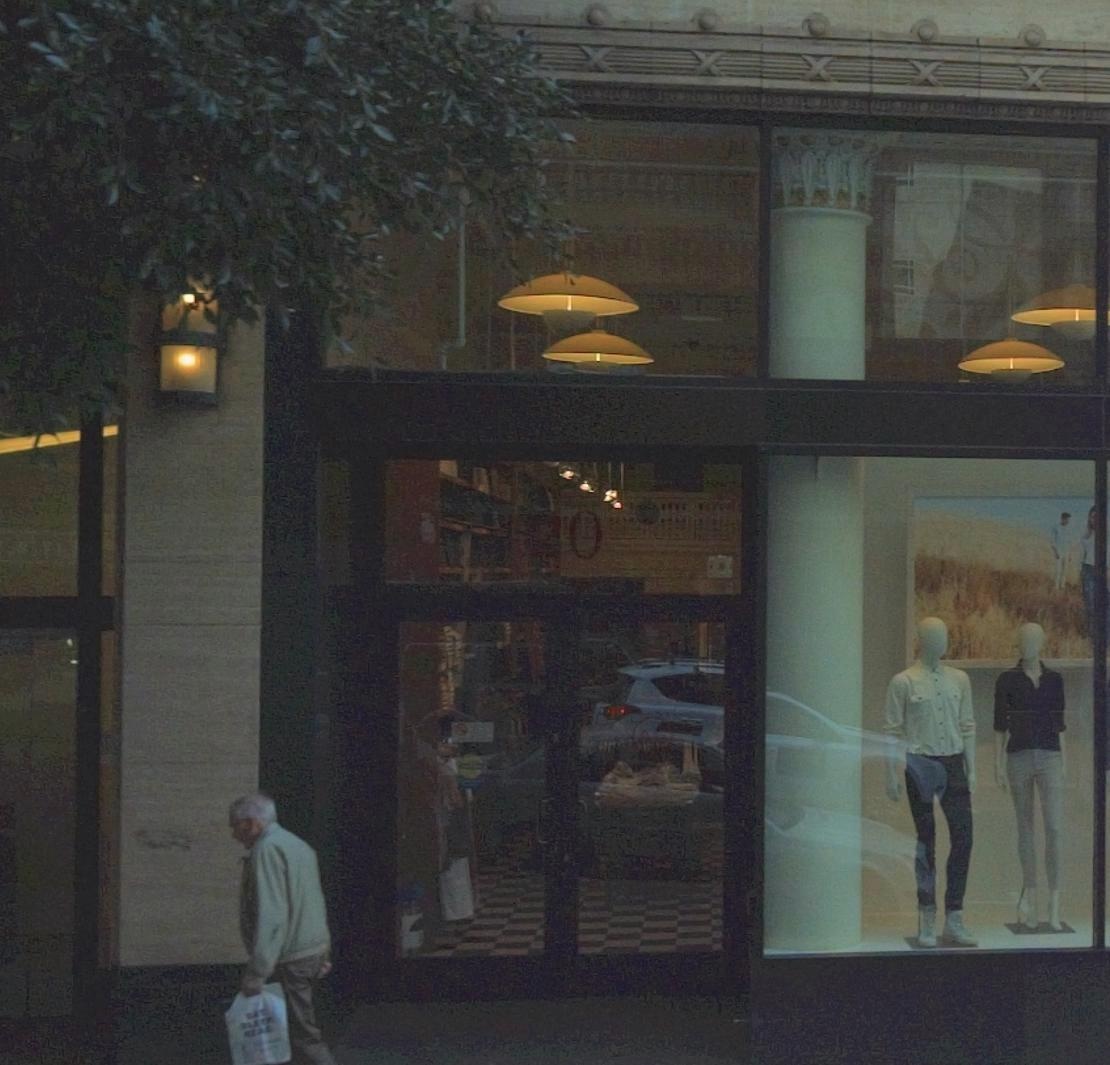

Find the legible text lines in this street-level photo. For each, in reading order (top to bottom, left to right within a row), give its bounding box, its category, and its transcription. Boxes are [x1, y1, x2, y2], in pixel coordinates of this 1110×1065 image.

[524, 505, 608, 565] StreetNumber: 20